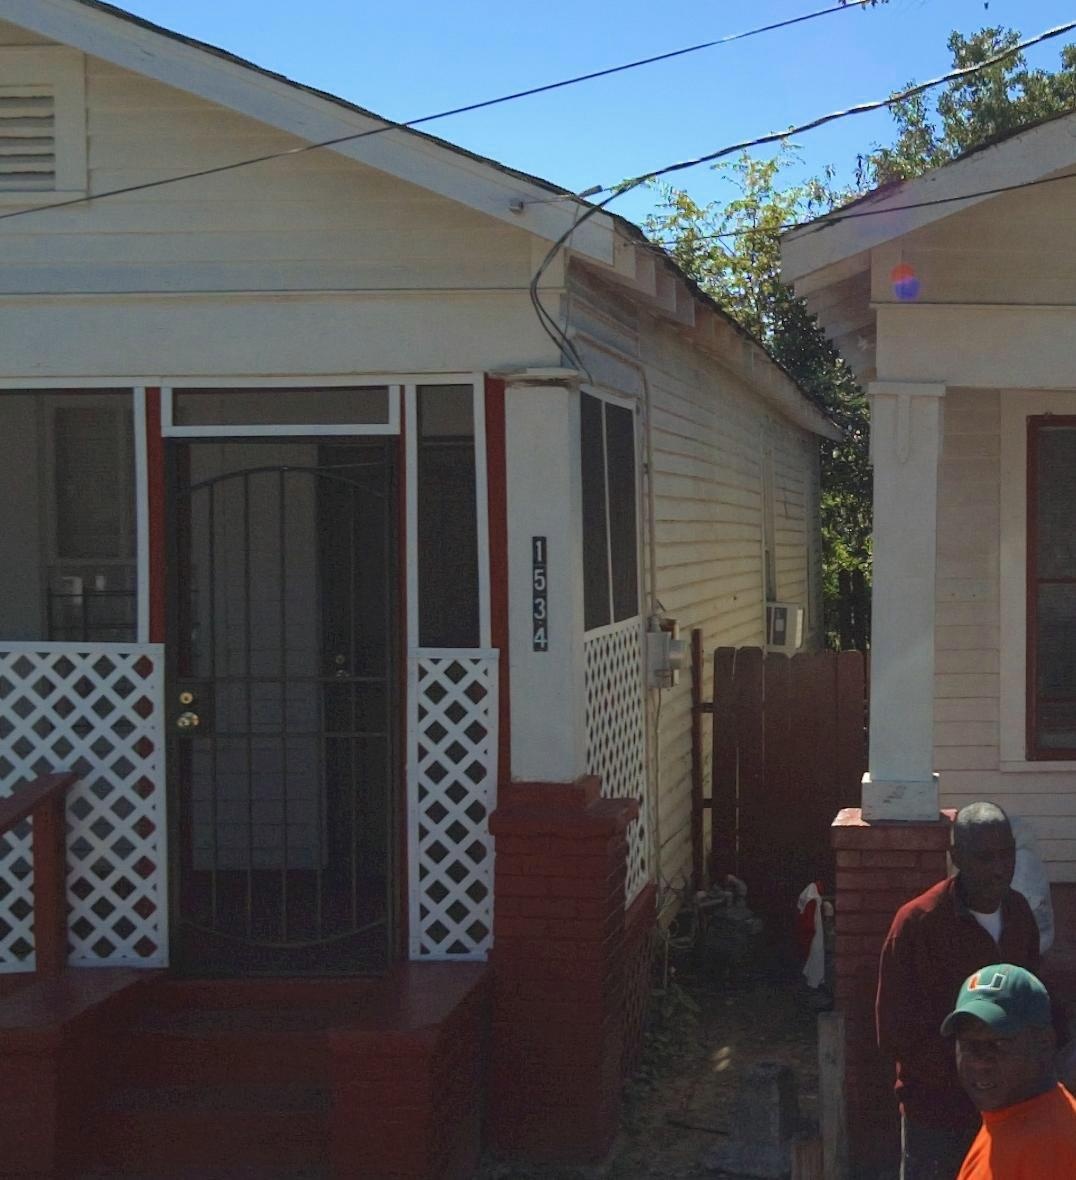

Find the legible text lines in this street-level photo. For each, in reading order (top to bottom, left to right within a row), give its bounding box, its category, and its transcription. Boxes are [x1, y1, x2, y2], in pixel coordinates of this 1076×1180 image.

[531, 537, 549, 651] StreetNumber: 1534
[965, 971, 1010, 994] None: U